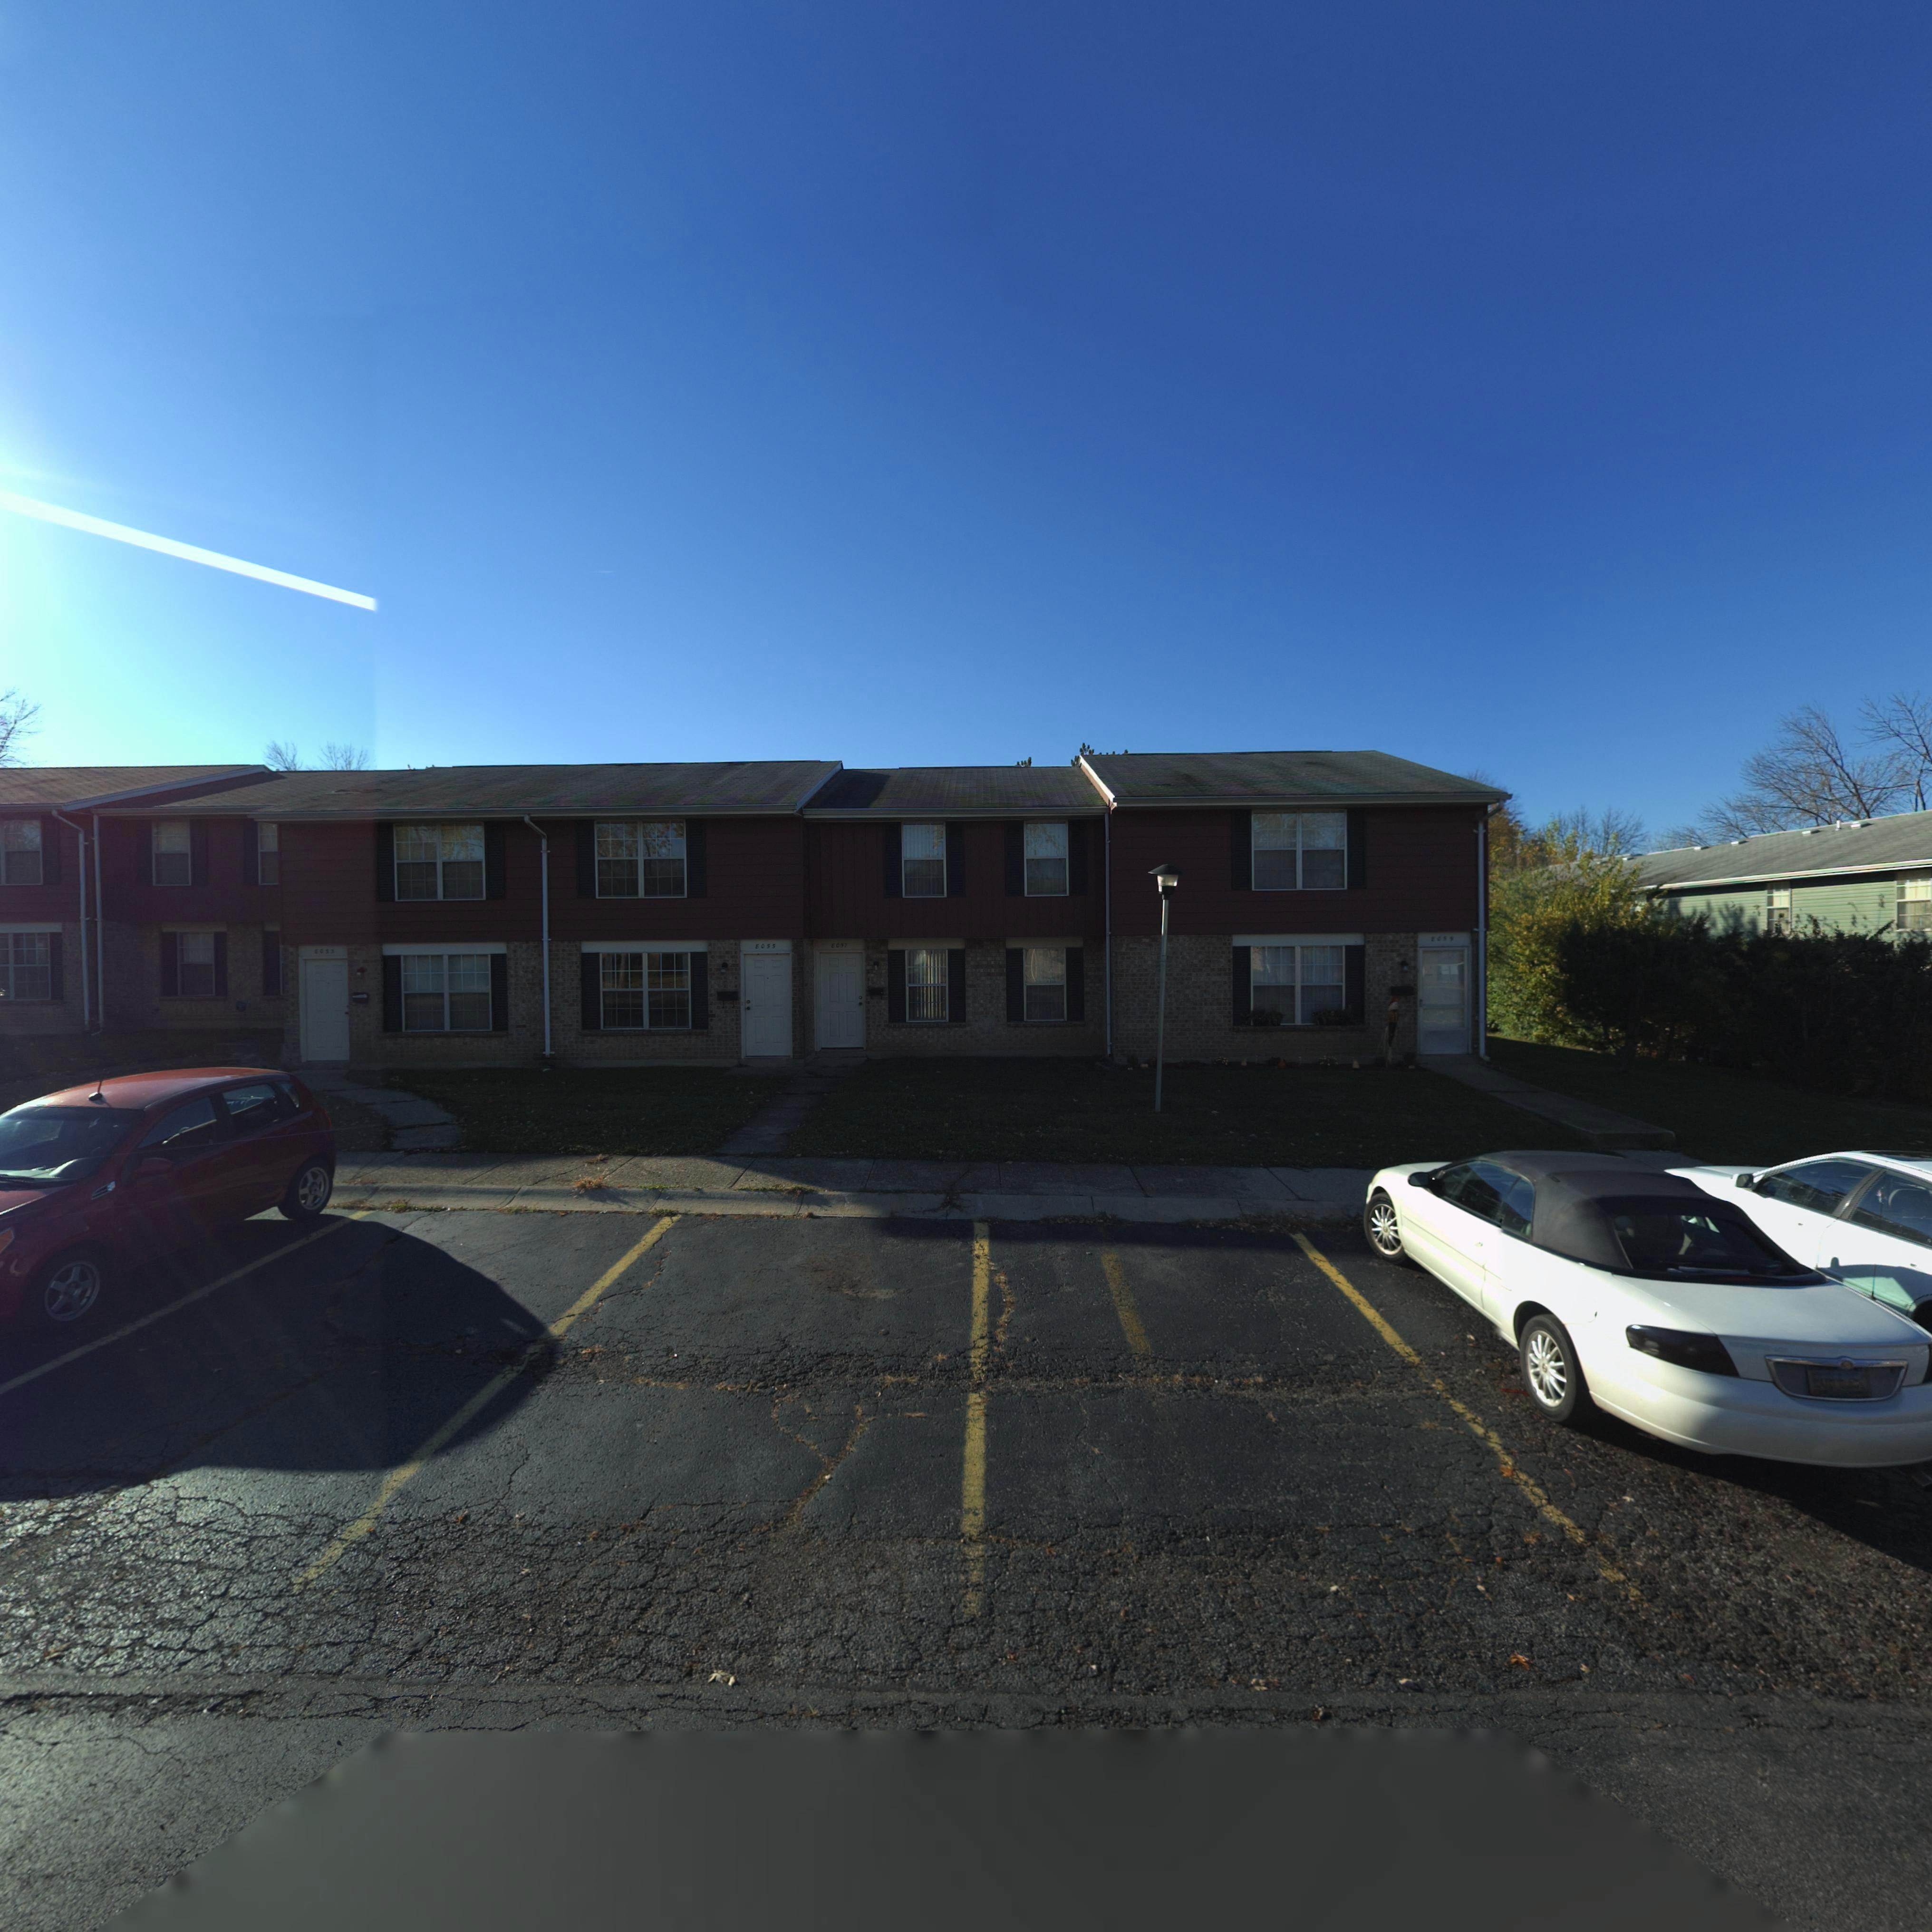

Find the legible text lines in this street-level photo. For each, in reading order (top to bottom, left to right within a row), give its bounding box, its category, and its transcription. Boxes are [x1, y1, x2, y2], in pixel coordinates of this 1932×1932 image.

[1430, 934, 1456, 944] StreetNumber: *0*9
[754, 943, 777, 950] StreetNumber: 8055
[830, 942, 849, 949] StreetNumber: 80*7
[313, 947, 336, 956] StreetNumber: 80**